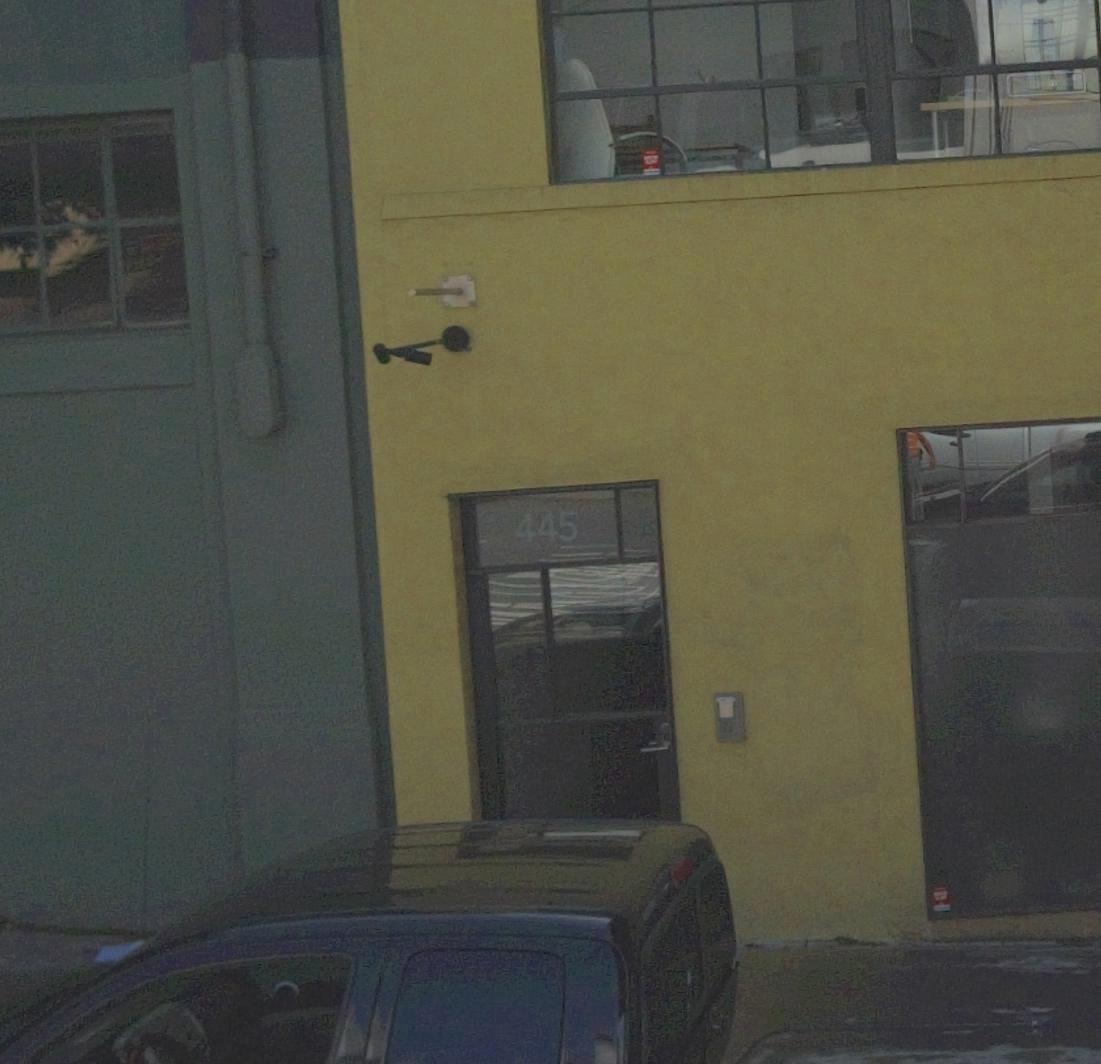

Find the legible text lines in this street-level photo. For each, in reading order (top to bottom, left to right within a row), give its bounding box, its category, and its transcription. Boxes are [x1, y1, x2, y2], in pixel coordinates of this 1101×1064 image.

[507, 505, 584, 549] StreetNumber: 445